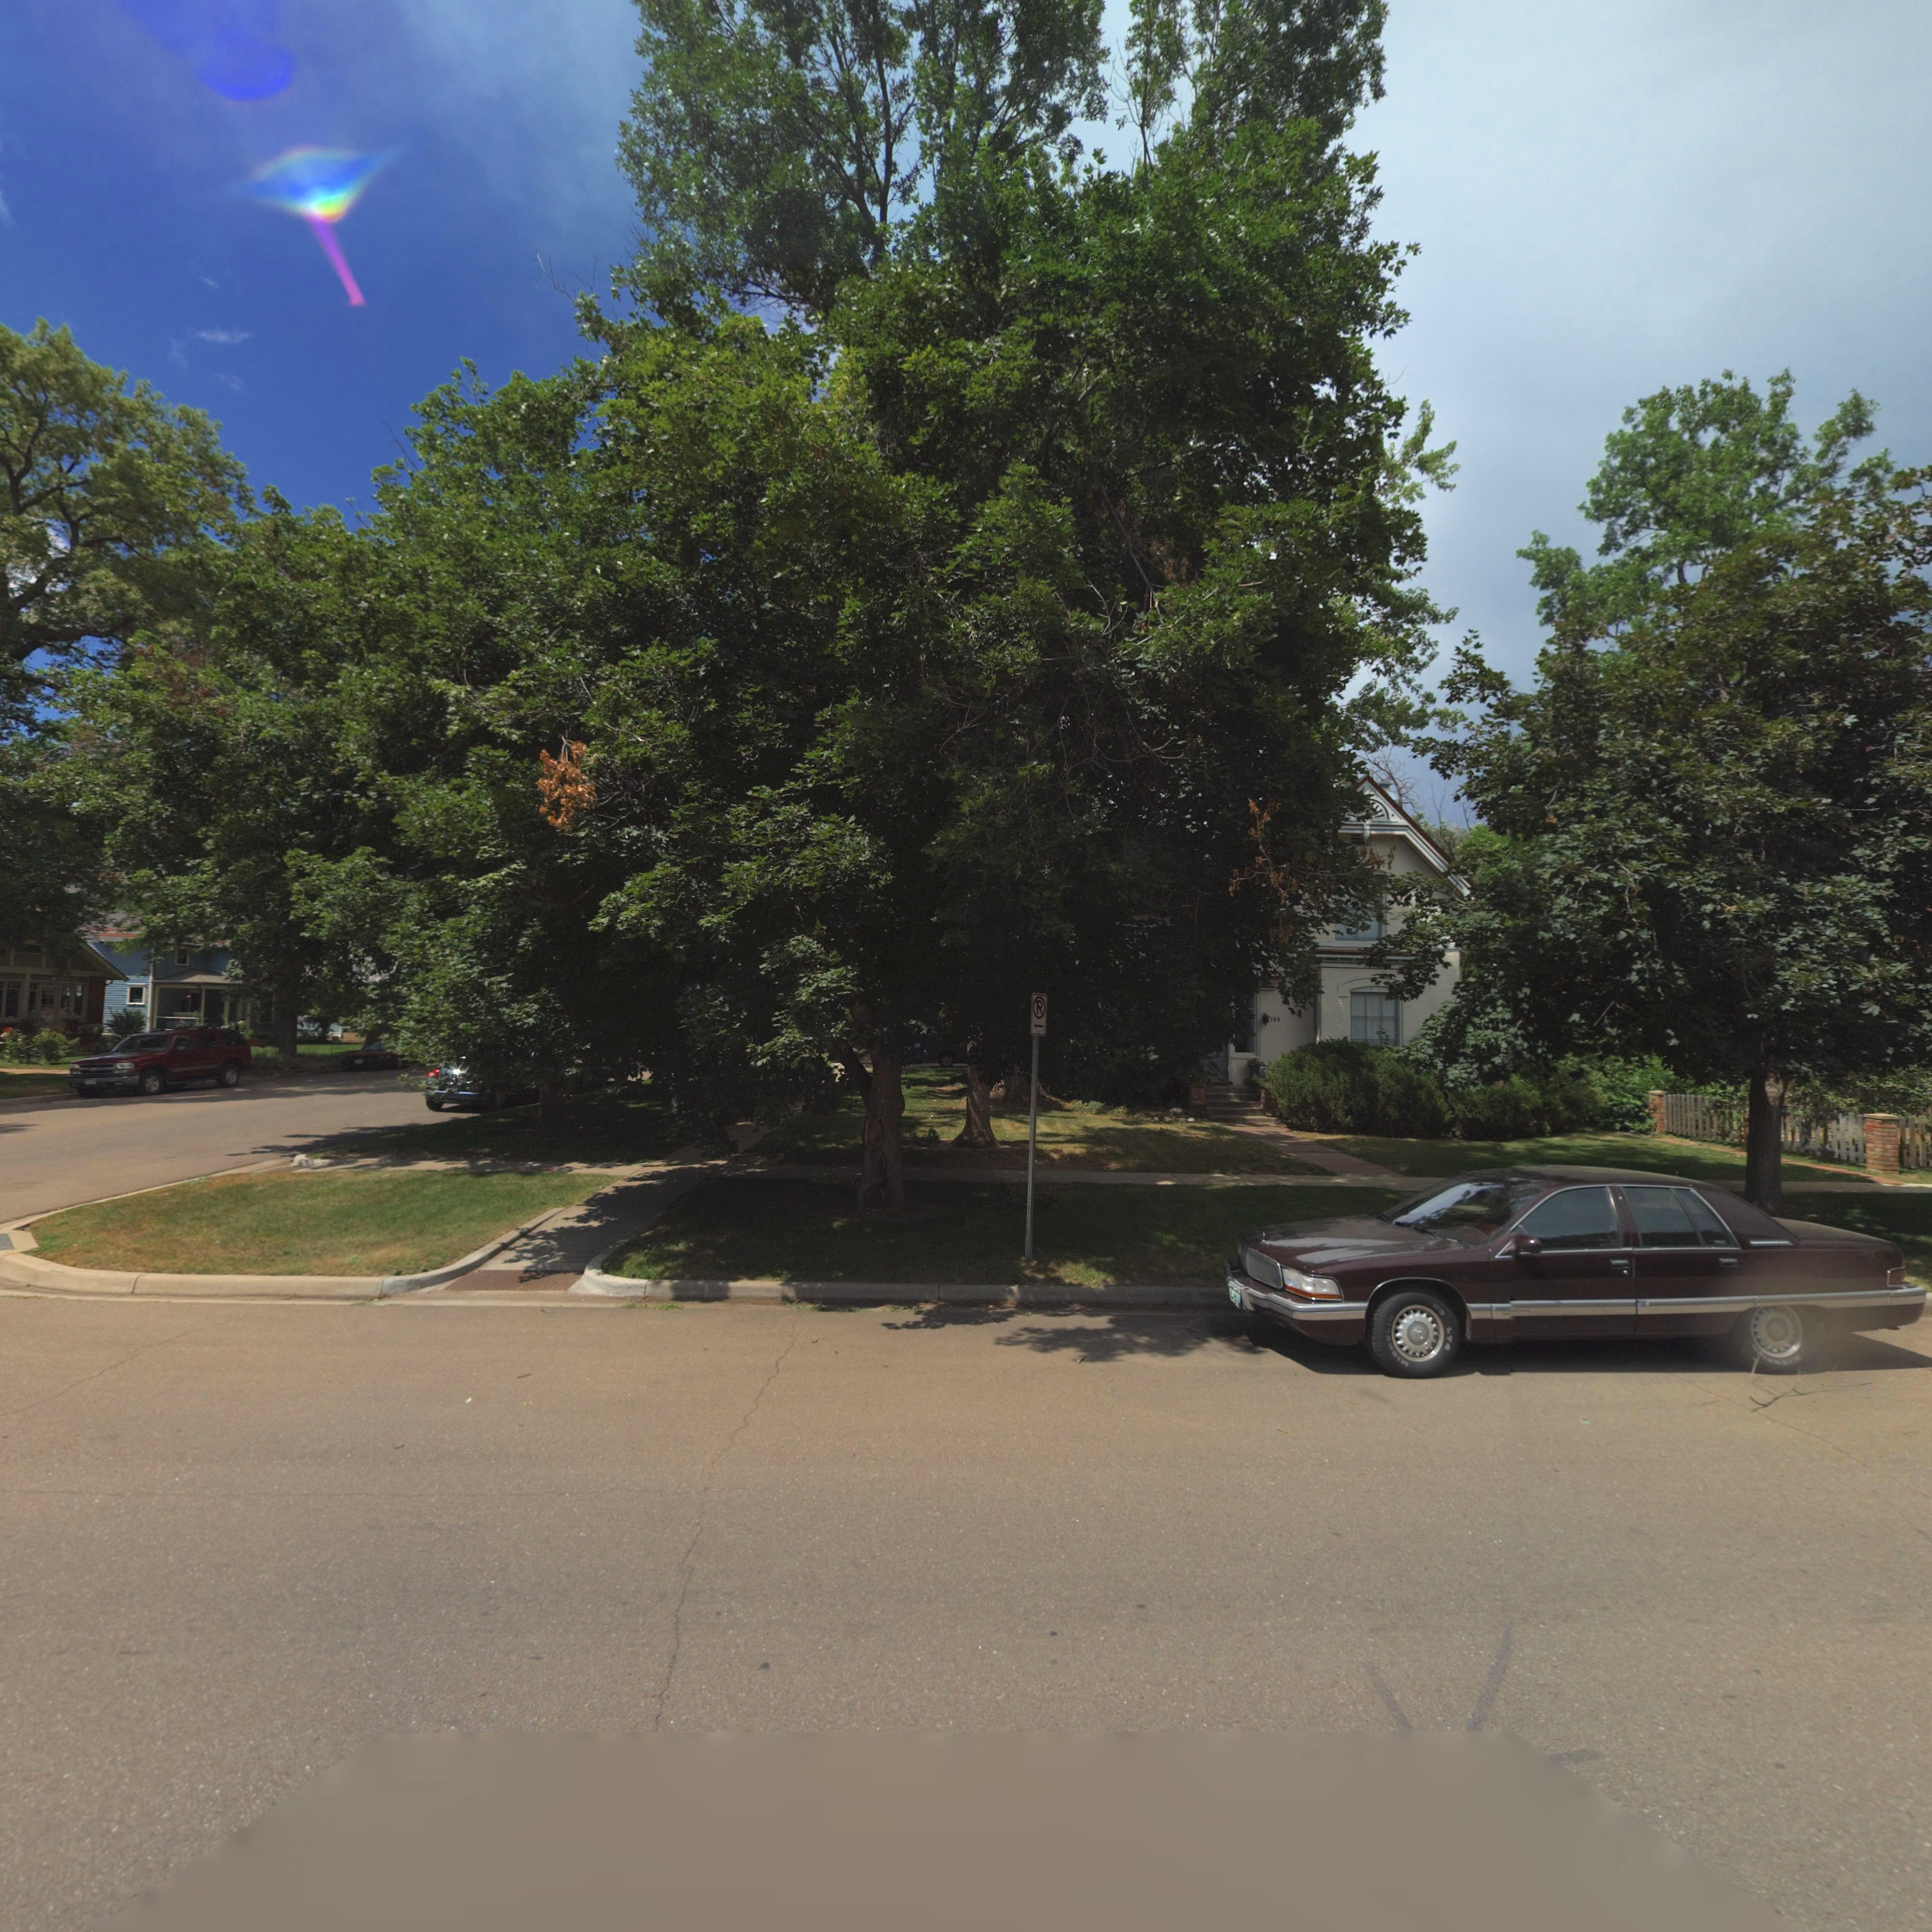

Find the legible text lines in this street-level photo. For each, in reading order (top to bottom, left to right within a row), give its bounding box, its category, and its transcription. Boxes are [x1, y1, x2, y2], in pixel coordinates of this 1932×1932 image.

[1269, 1016, 1281, 1022] StreetNumber: 360